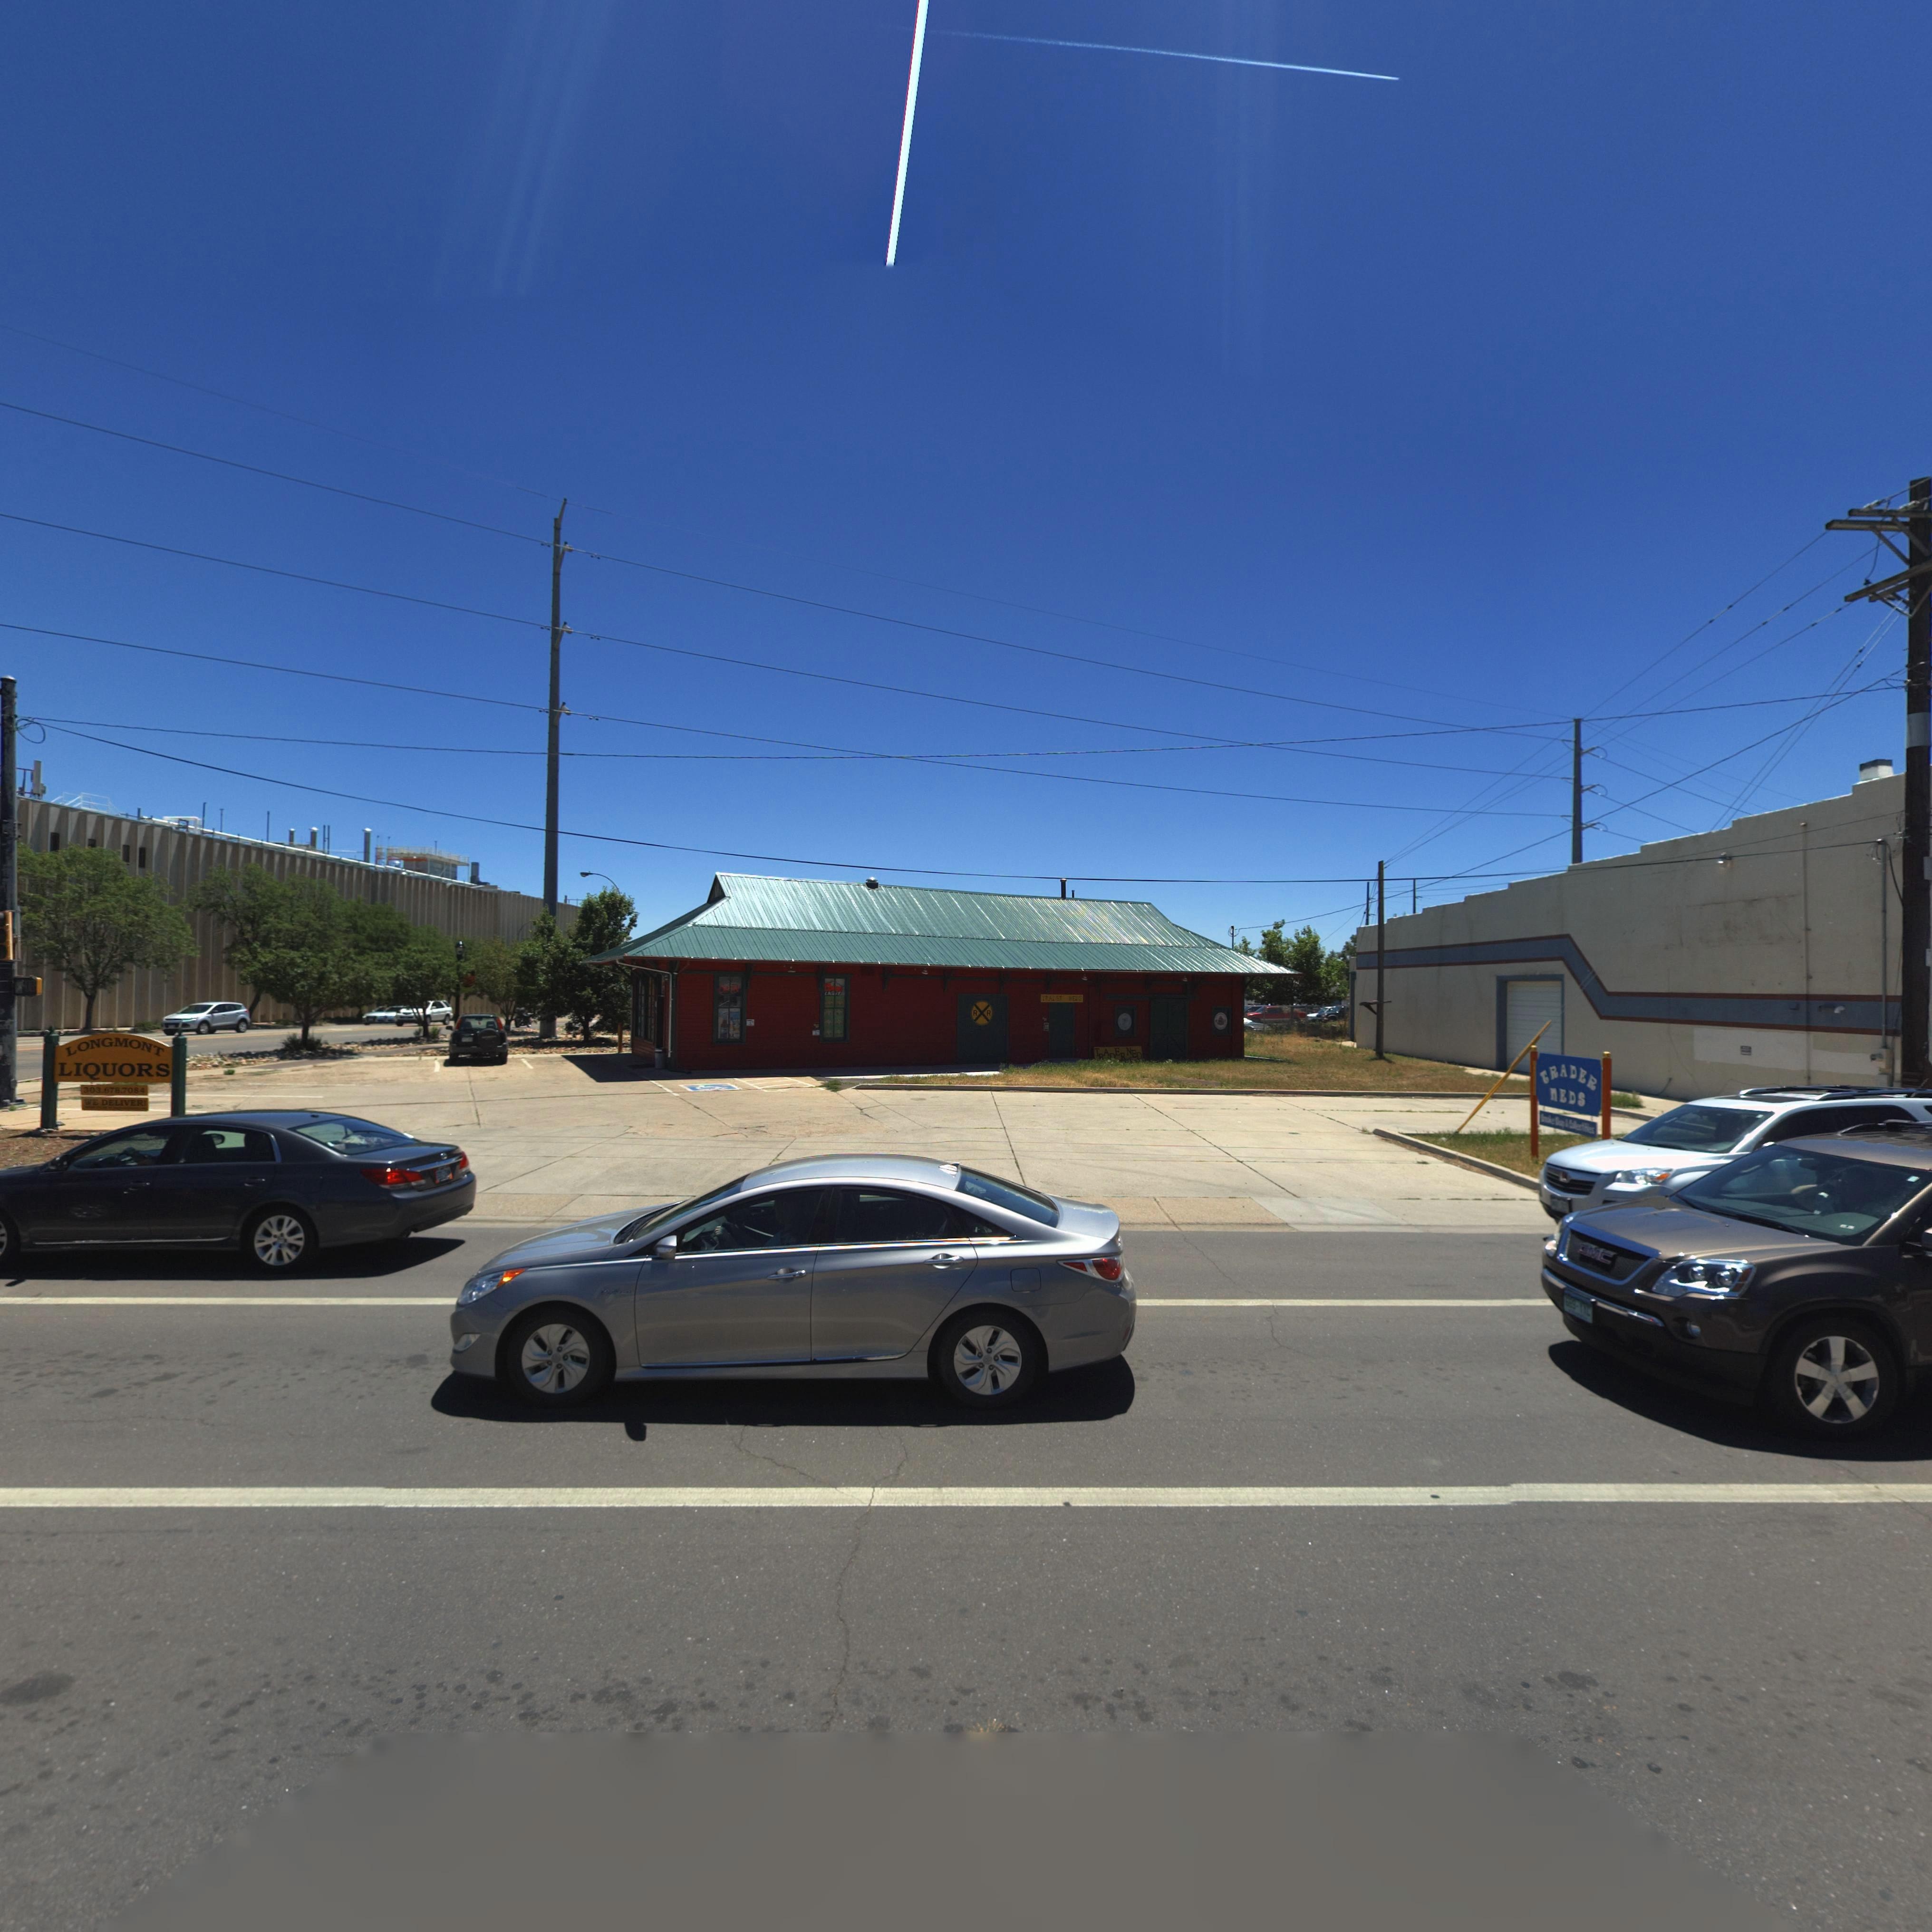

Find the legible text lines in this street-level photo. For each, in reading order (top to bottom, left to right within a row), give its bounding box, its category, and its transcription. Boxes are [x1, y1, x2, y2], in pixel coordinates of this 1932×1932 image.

[1042, 995, 1082, 1001] BusinessName: TRADER NEDS
[64, 1037, 165, 1058] BusinessName: LONGMONT
[1093, 1047, 1142, 1060] BusinessName: TRADER NED
[58, 1062, 170, 1081] BusinessName: LIQUORS
[1539, 1063, 1597, 1091] BusinessName: TRADER
[1550, 1087, 1586, 1107] BusinessName: nEDS